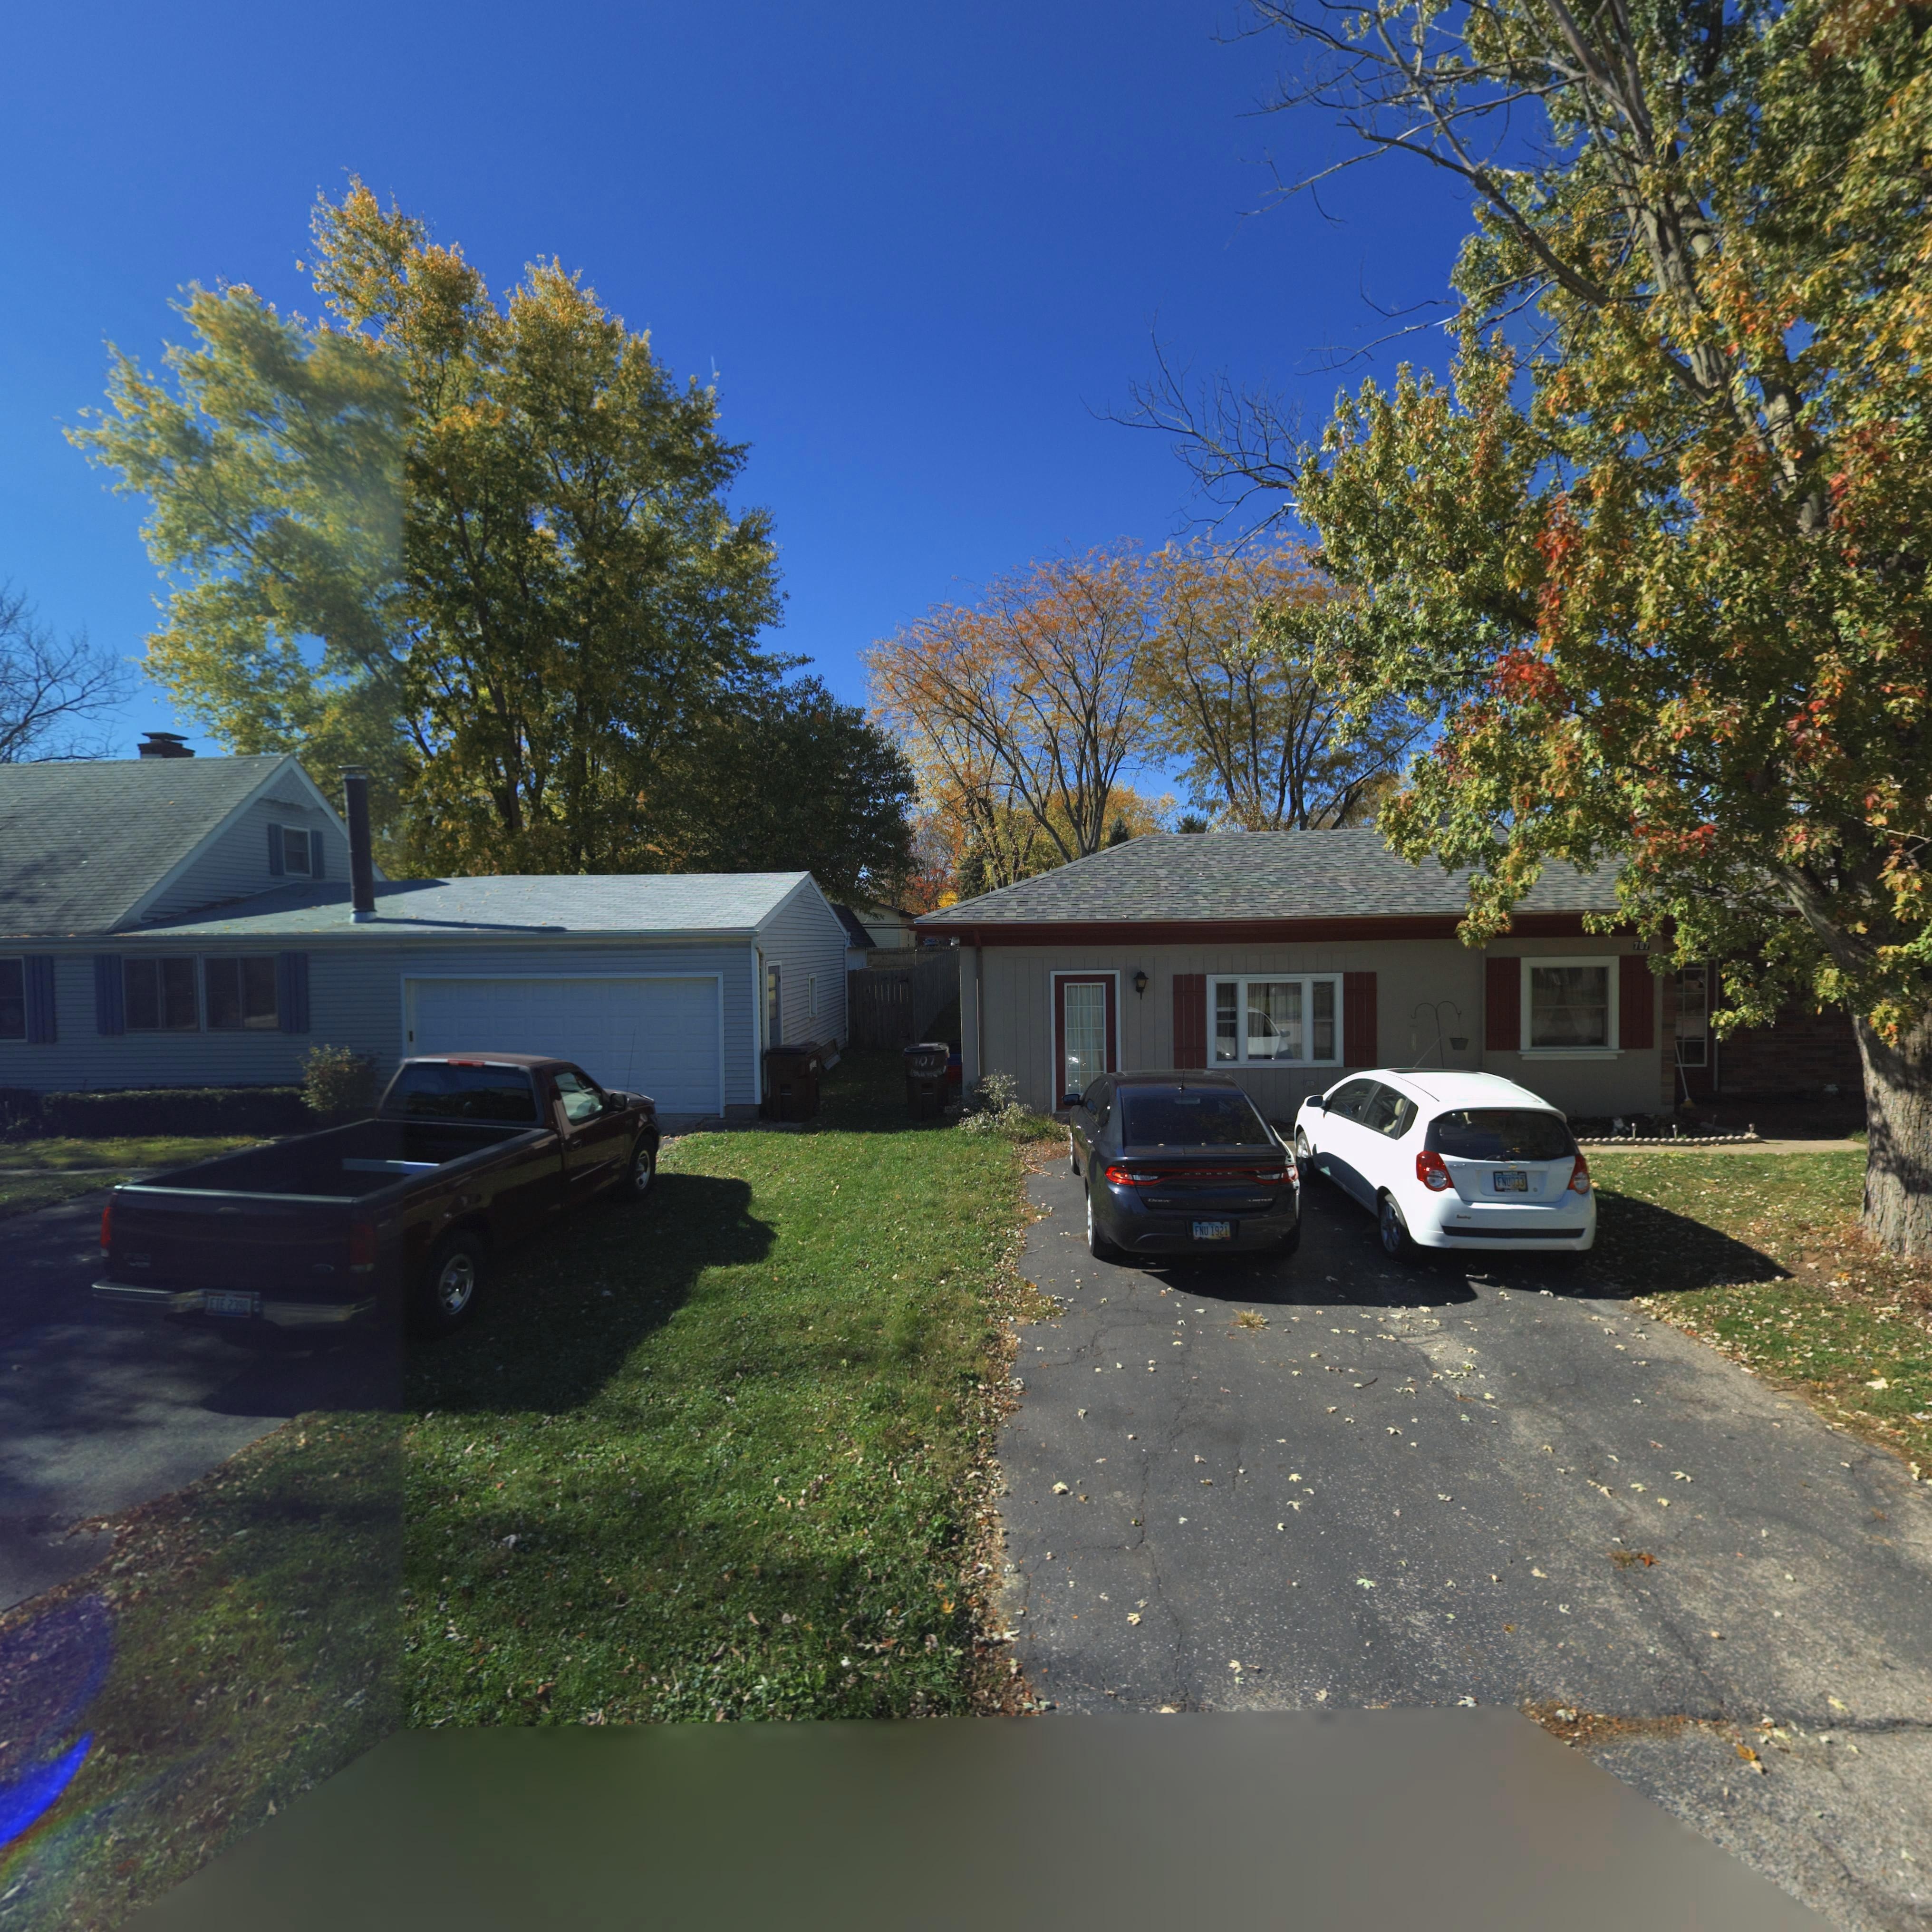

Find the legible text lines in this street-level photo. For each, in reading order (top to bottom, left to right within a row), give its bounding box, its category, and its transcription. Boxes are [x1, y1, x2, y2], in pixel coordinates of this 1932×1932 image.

[1633, 941, 1650, 950] StreetNumber: 707
[911, 1054, 937, 1067] StreetNumber: 707